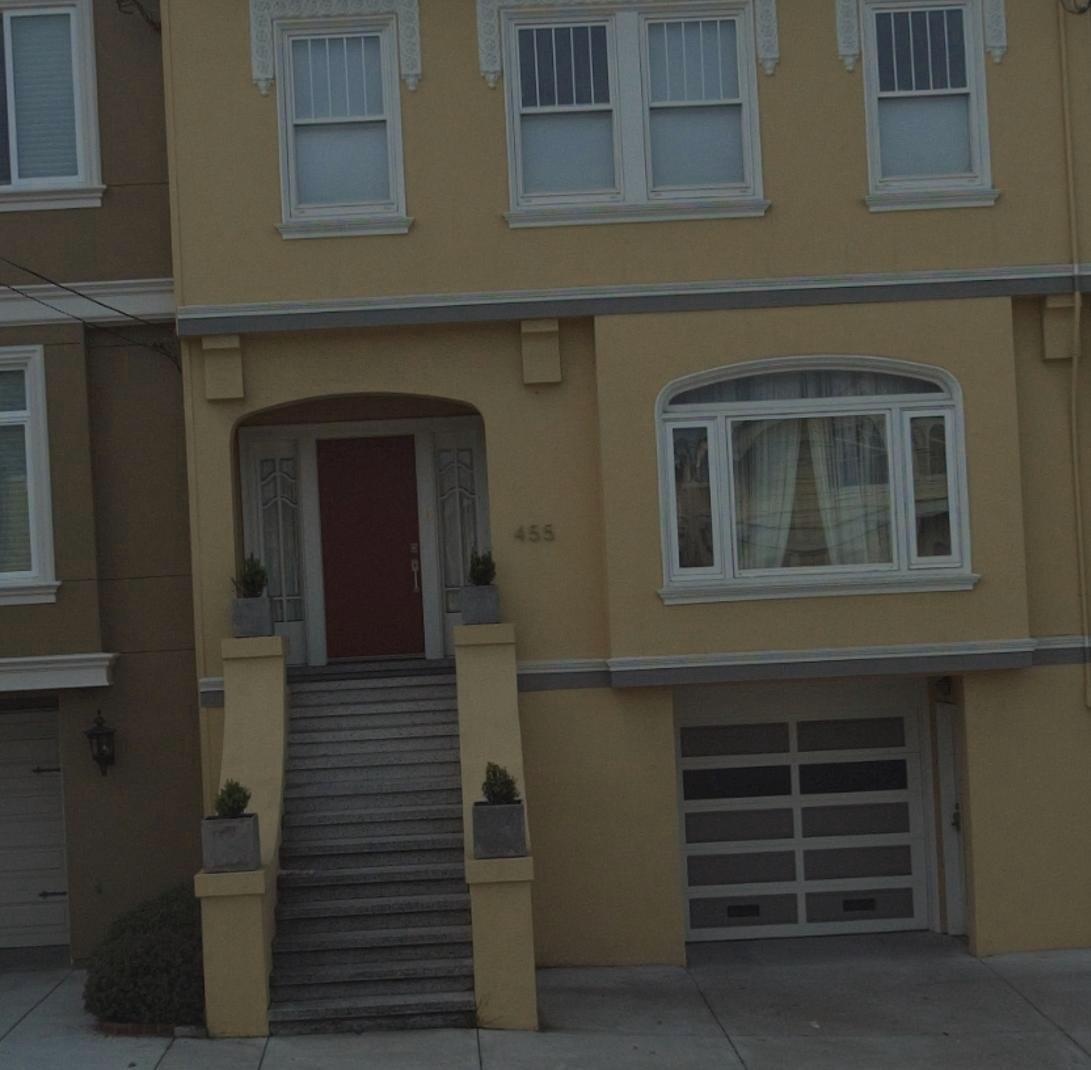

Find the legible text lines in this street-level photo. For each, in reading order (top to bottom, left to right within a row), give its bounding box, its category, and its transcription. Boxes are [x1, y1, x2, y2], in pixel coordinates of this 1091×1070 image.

[511, 522, 556, 544] StreetNumber: 455